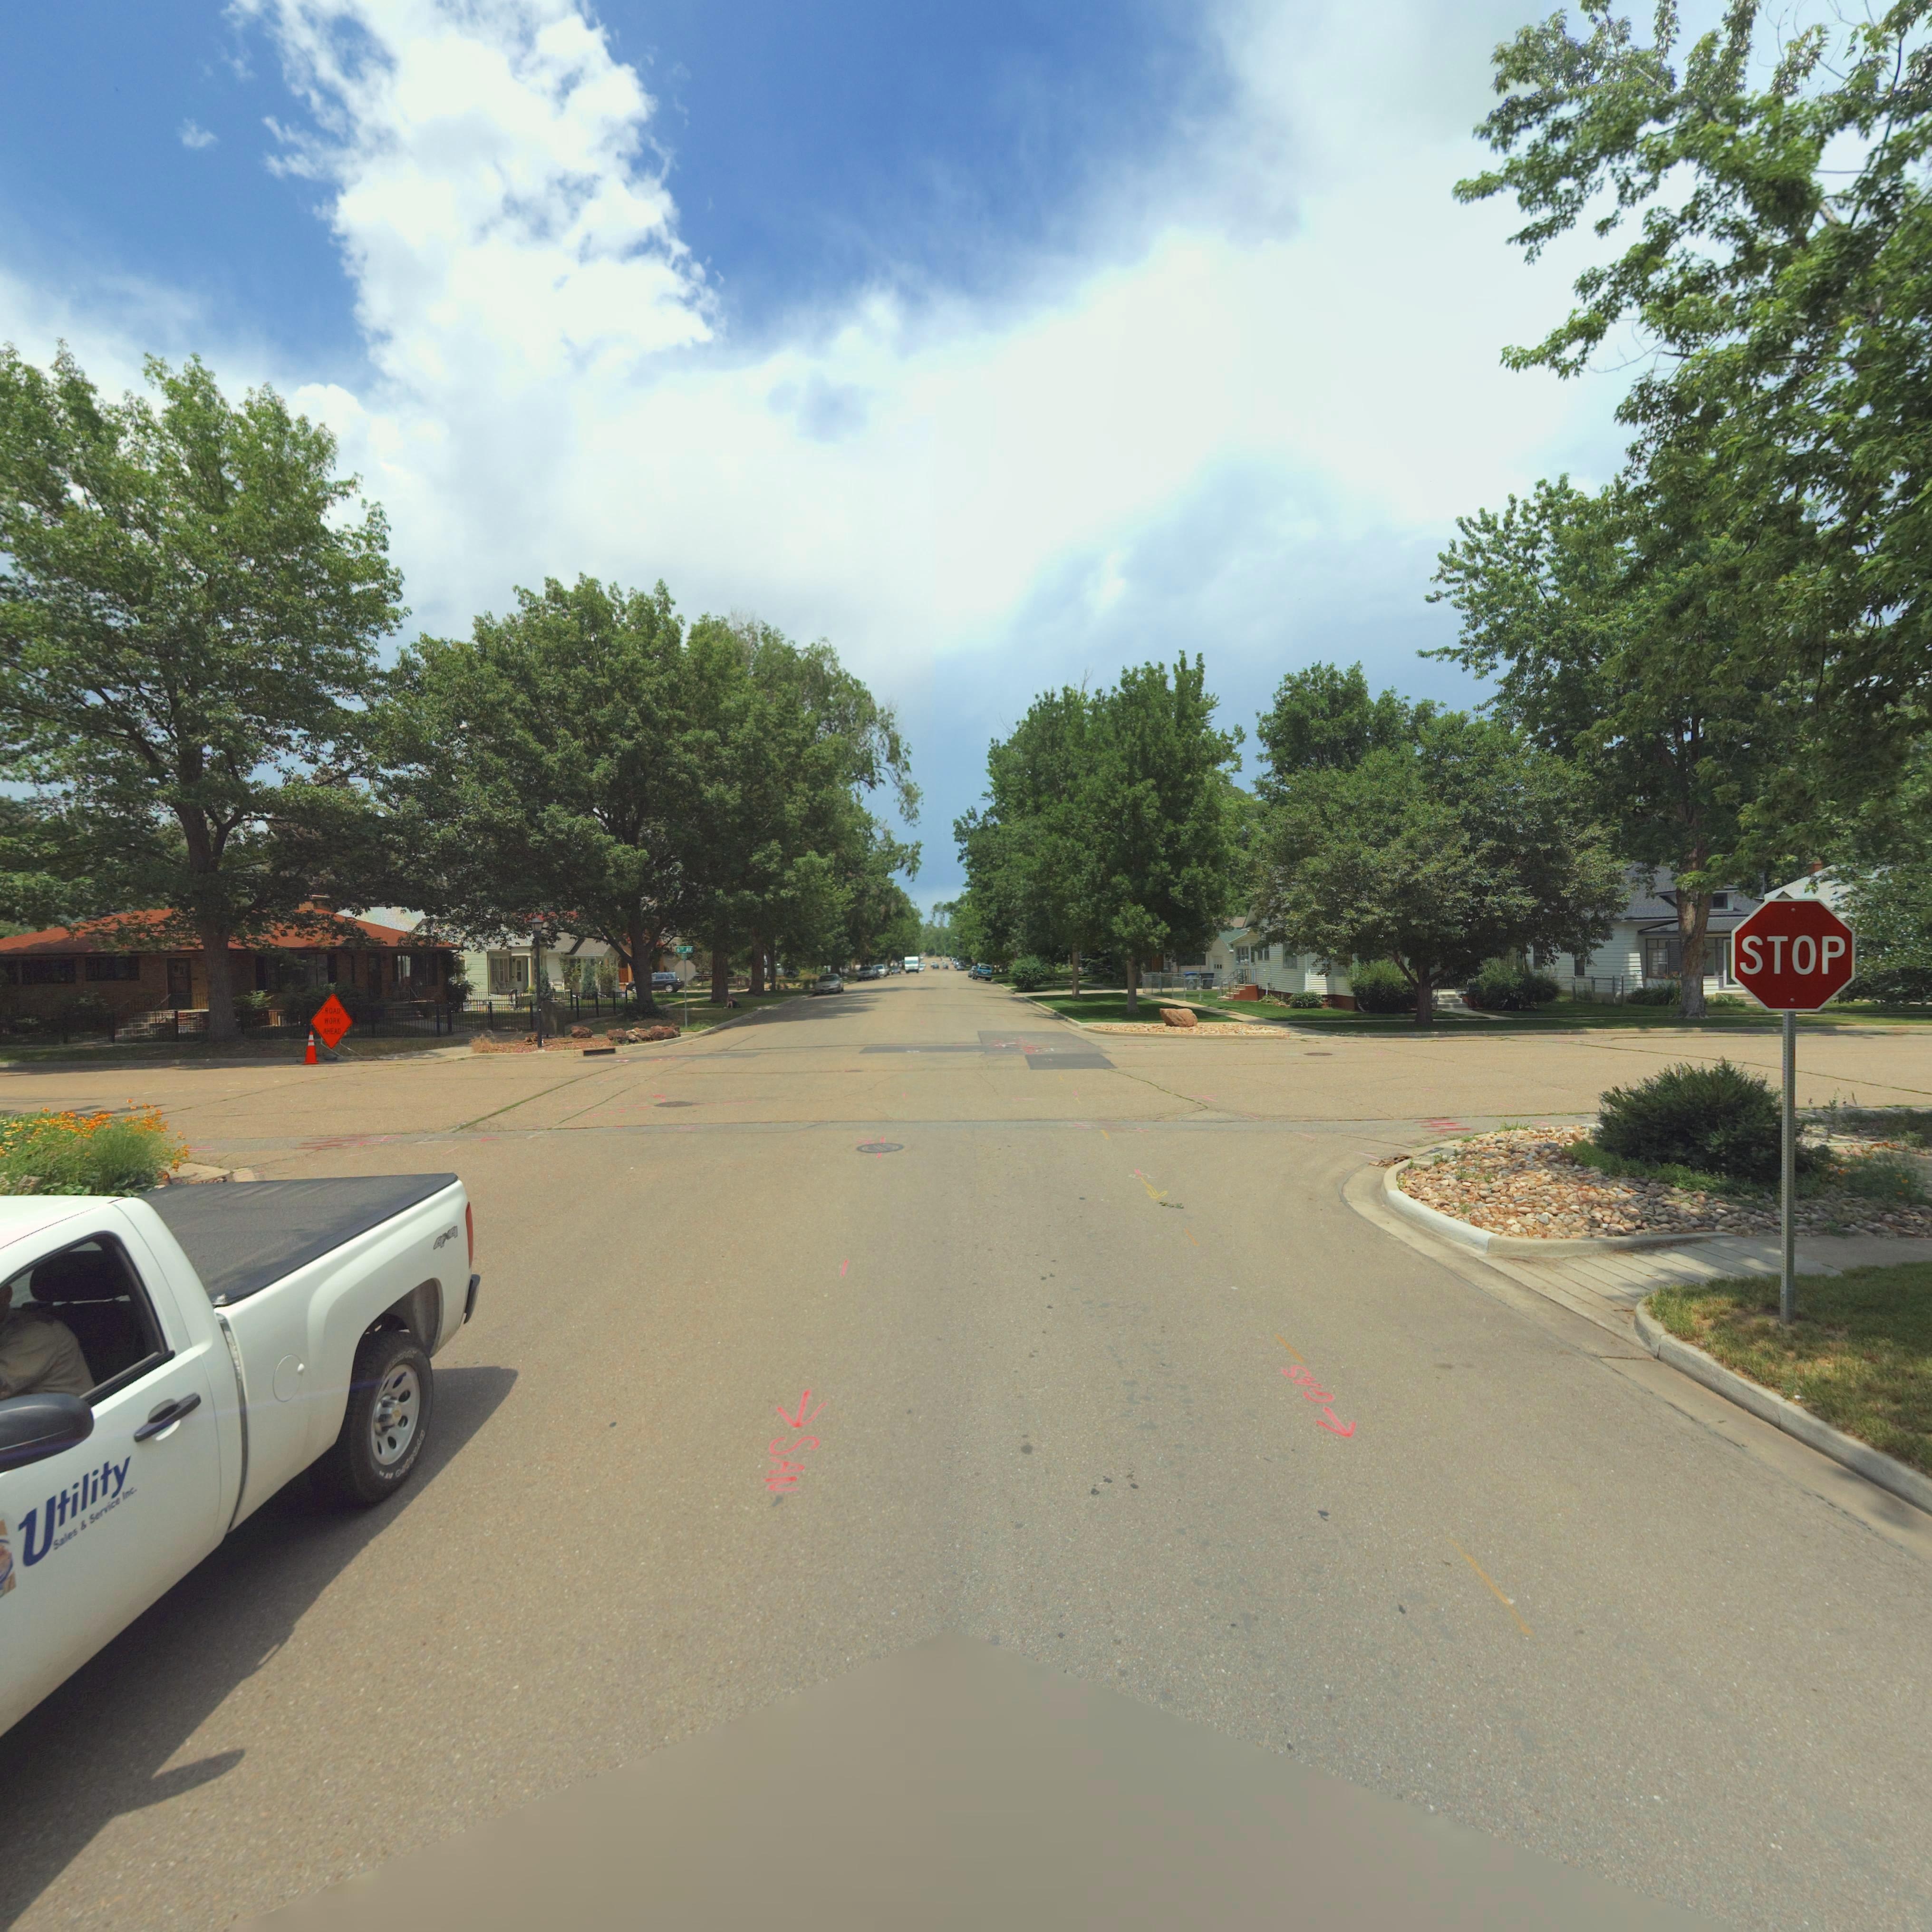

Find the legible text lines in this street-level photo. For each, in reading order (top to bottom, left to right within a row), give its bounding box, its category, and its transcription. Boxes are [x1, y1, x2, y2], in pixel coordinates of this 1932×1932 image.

[676, 947, 692, 952] StreetName: 6TH AV